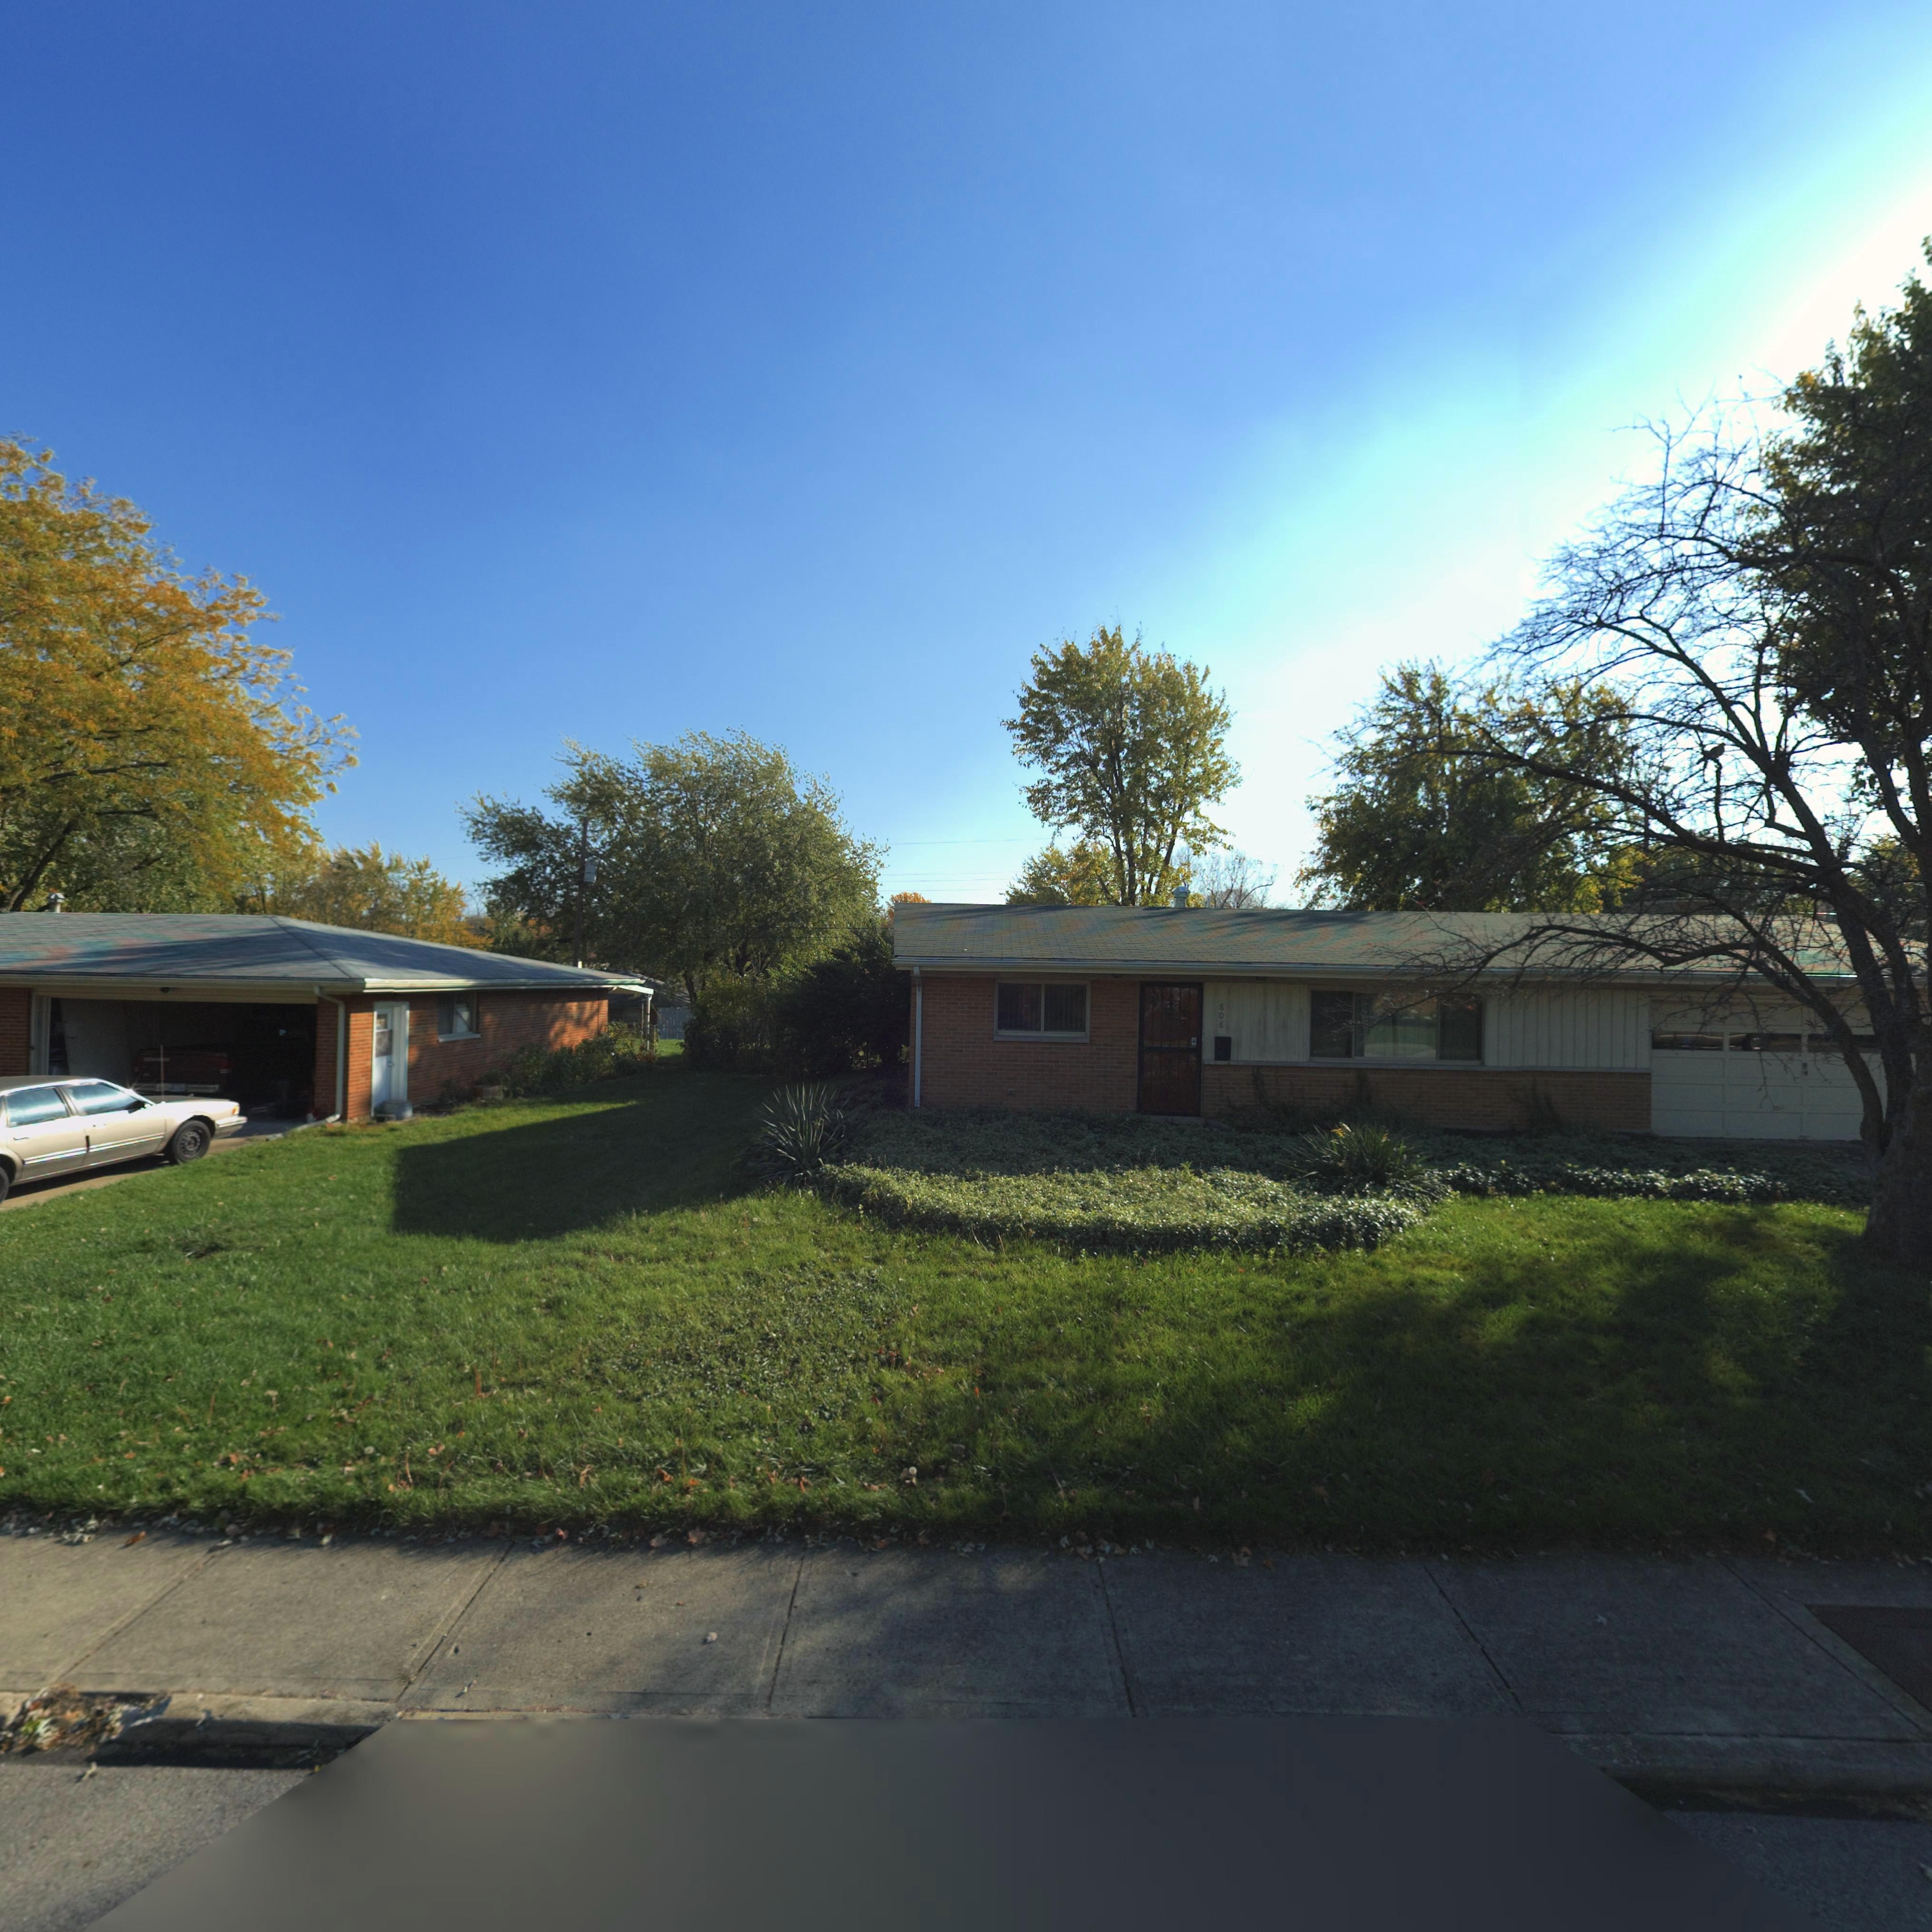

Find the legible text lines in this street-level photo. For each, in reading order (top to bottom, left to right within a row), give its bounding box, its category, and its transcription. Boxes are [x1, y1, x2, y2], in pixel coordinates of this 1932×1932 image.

[1218, 1002, 1225, 1028] StreetNumber: 808